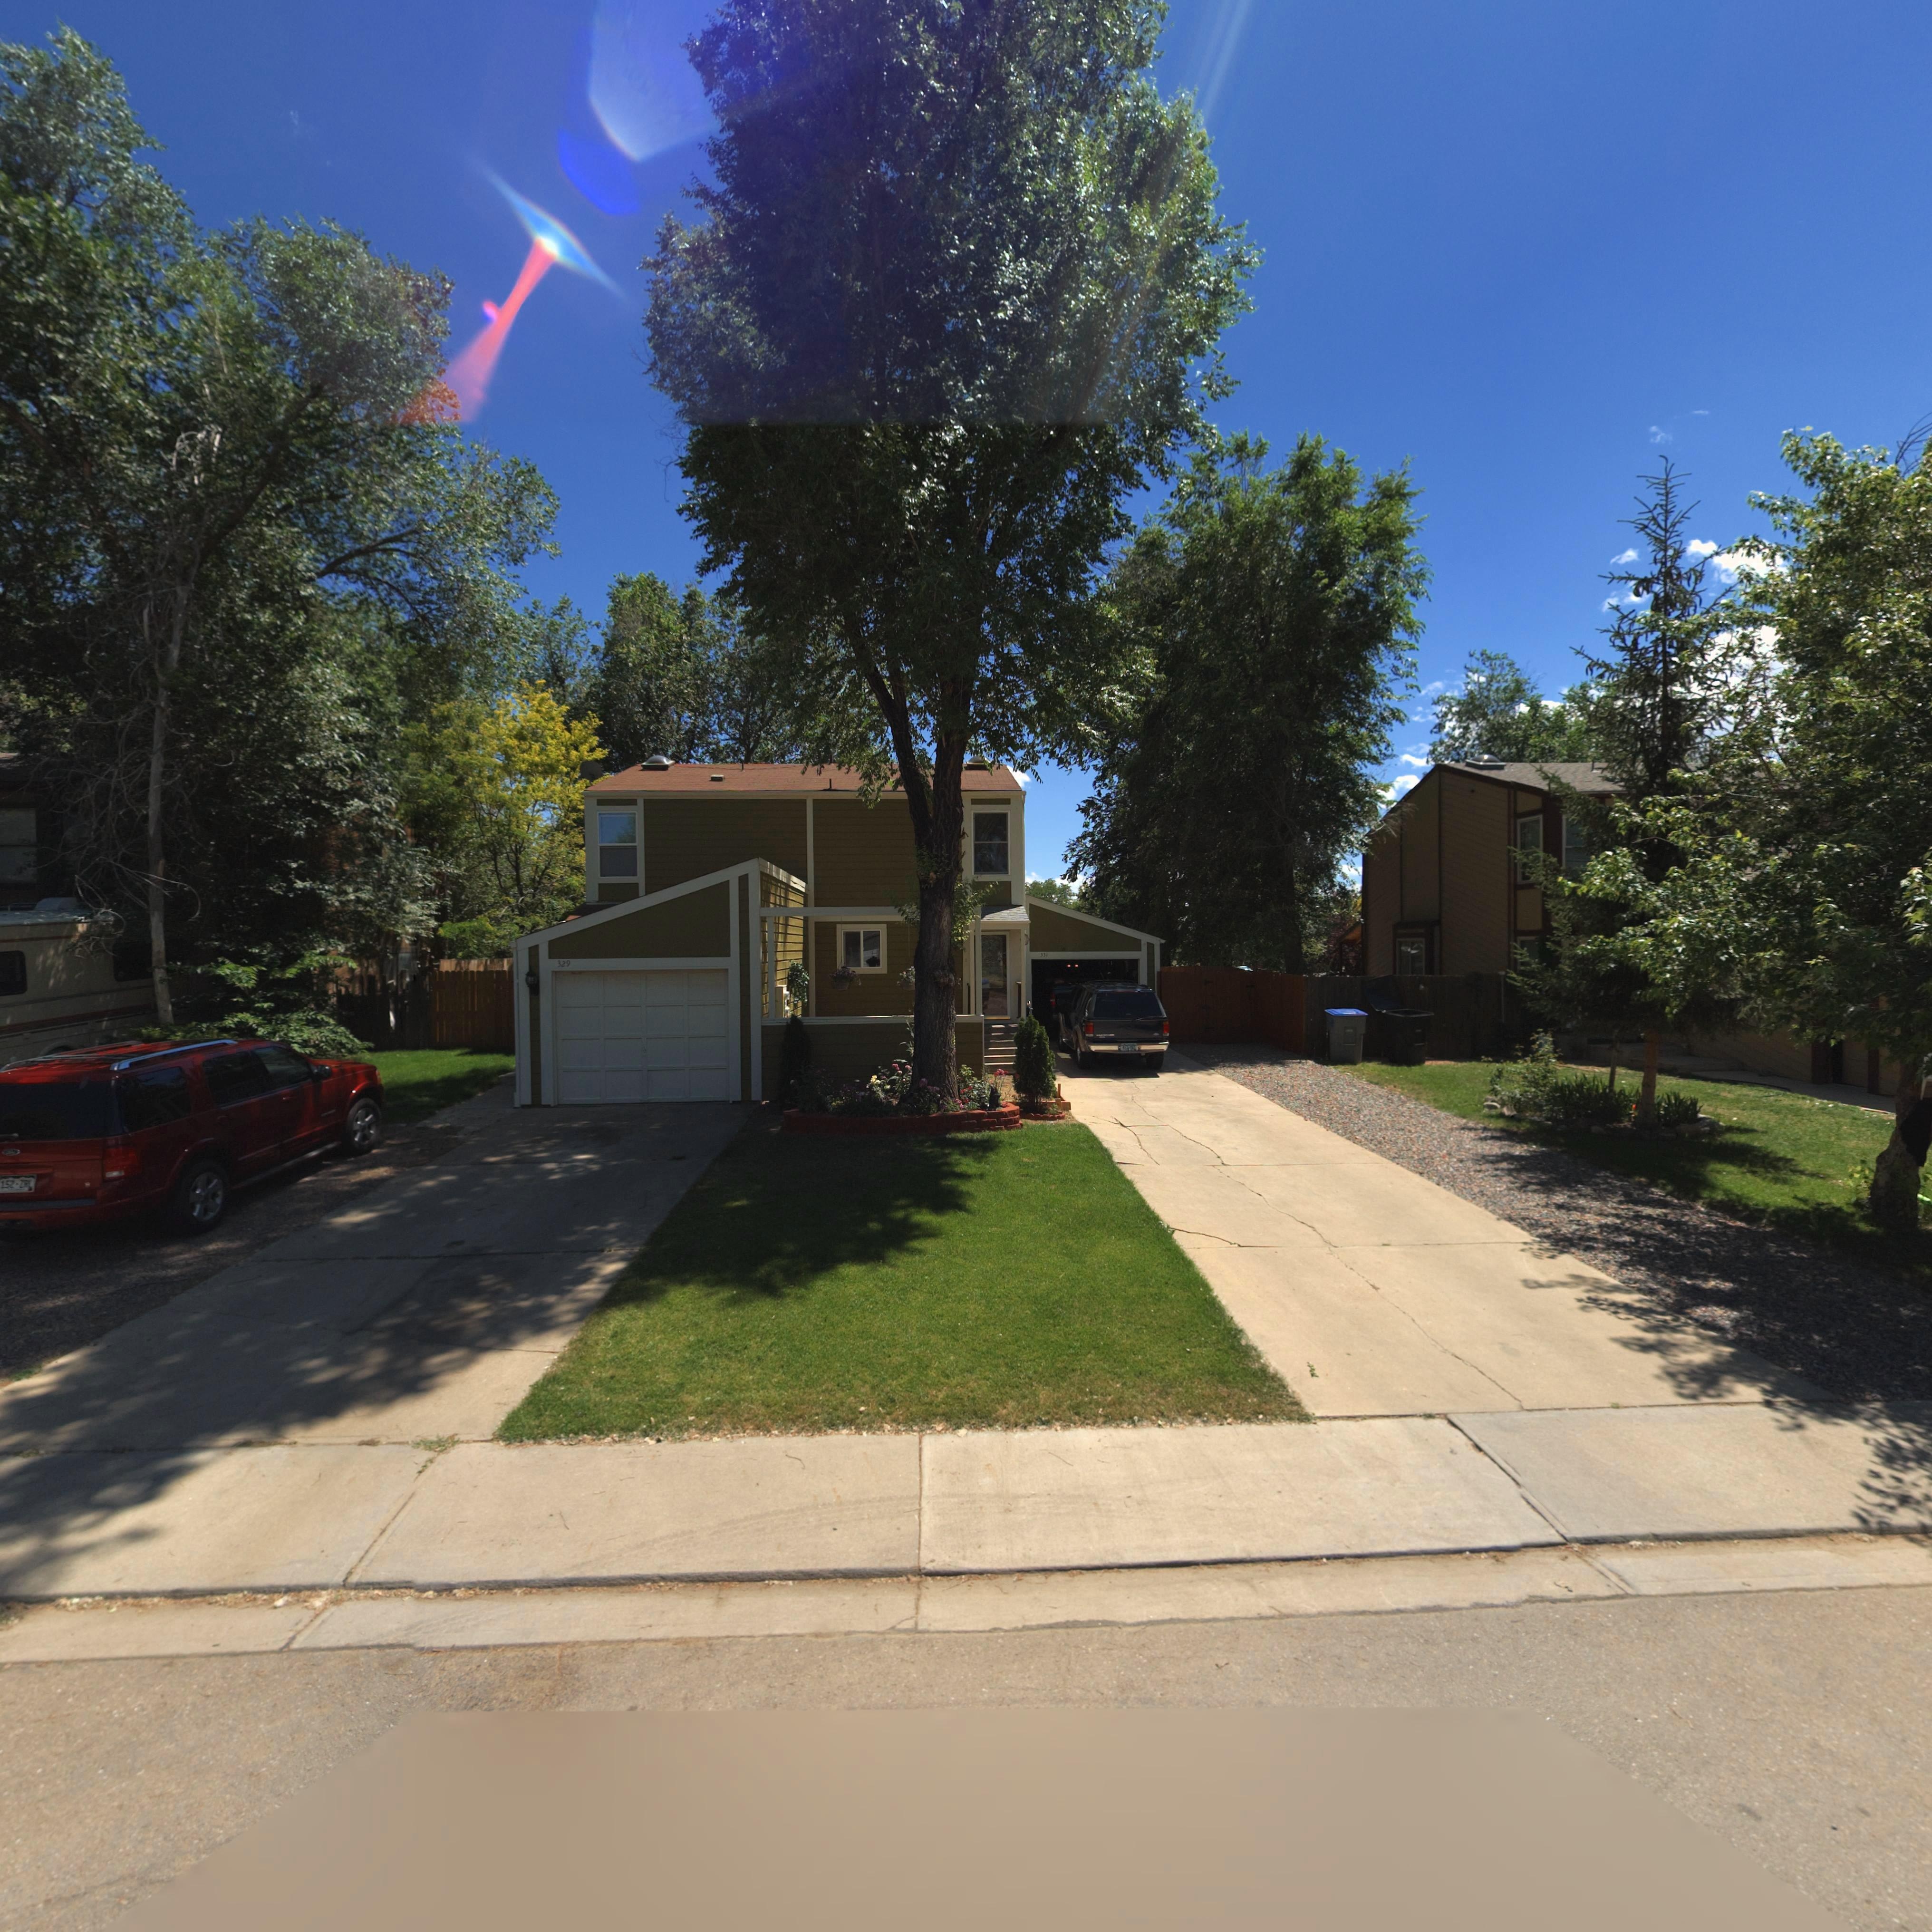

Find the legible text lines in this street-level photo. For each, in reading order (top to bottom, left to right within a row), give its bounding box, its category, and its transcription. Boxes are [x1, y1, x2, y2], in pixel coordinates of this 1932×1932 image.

[1040, 952, 1048, 957] StreetNumber: 331
[556, 959, 571, 967] StreetNumber: 329